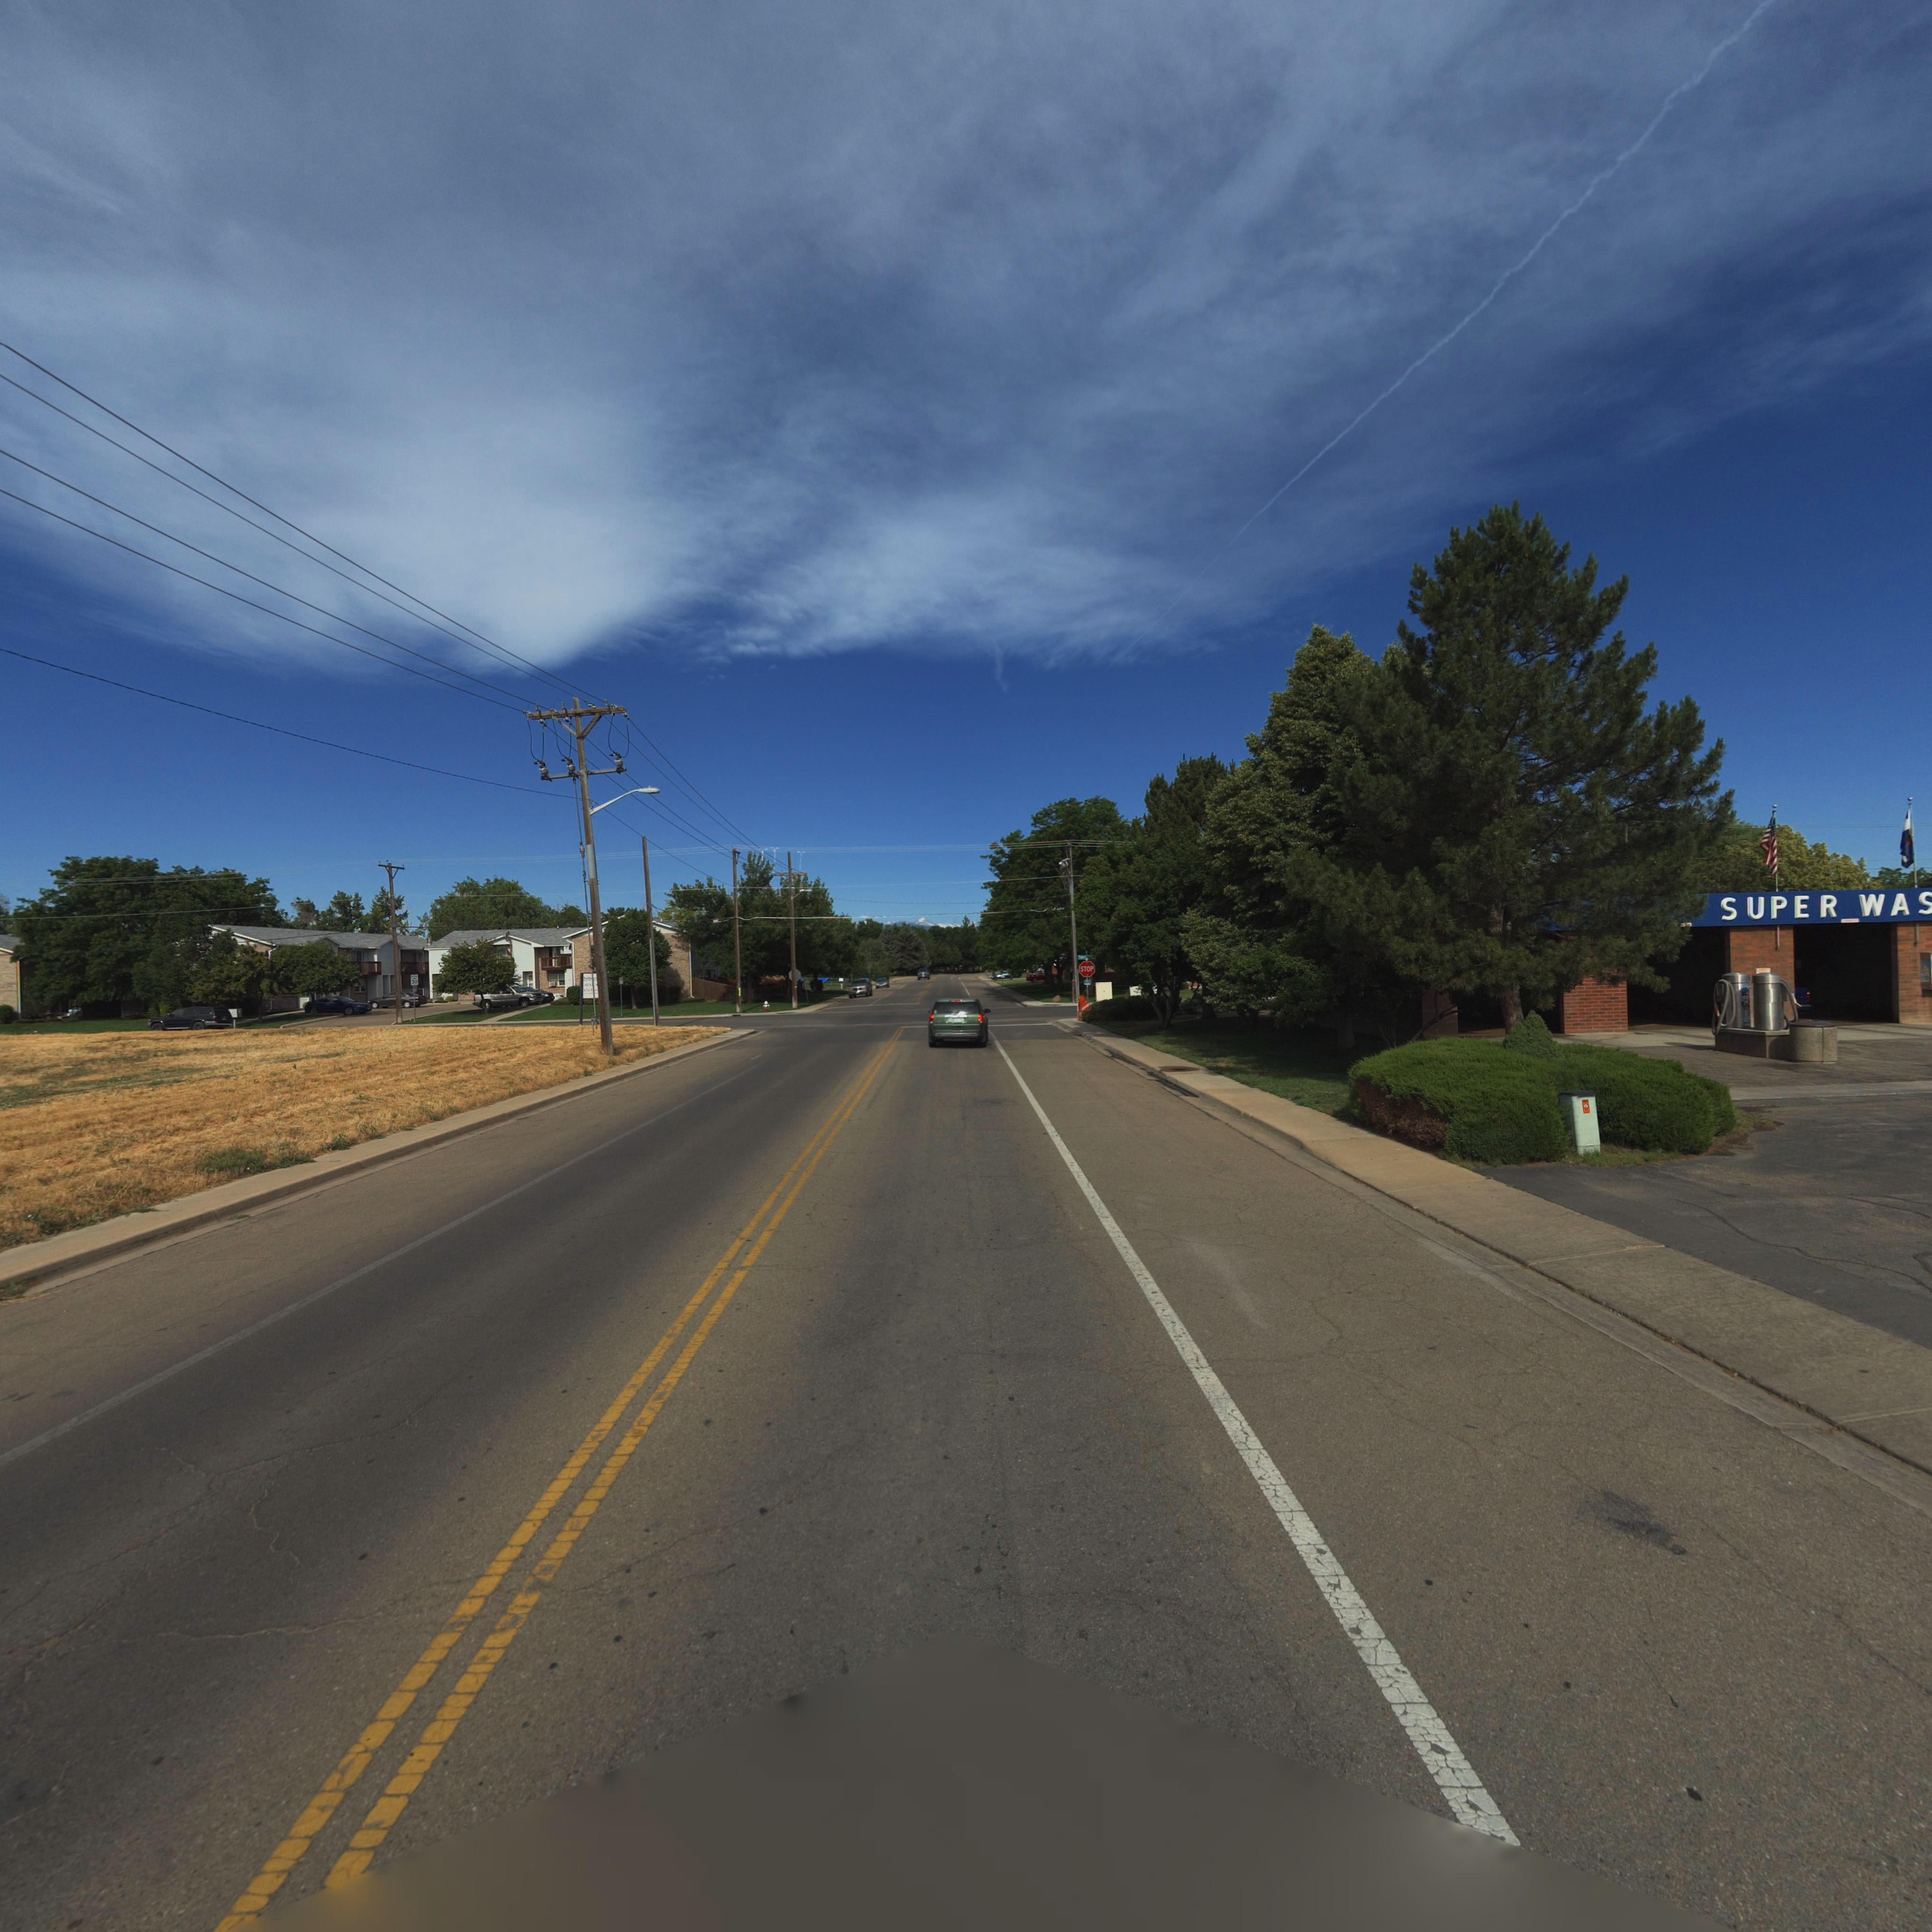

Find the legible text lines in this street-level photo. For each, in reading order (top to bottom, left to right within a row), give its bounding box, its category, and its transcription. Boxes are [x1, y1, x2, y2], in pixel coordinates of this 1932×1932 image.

[1719, 892, 1910, 920] BusinessName: SUPER WA
[1078, 955, 1081, 959] StreetName: T